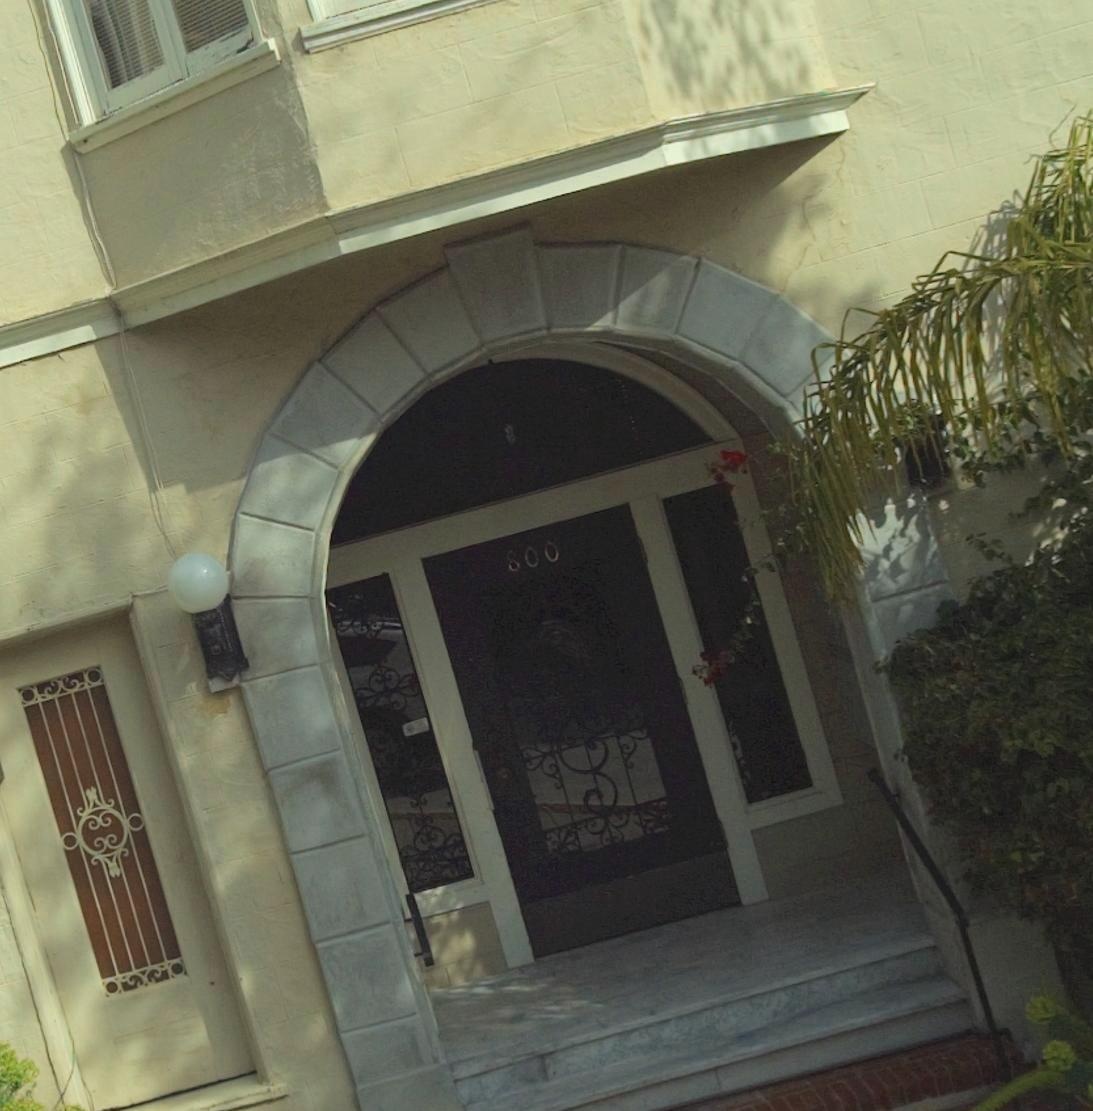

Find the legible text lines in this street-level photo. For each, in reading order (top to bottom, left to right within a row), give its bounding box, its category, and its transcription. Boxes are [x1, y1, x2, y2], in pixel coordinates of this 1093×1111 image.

[501, 536, 564, 576] StreetNumber: 800